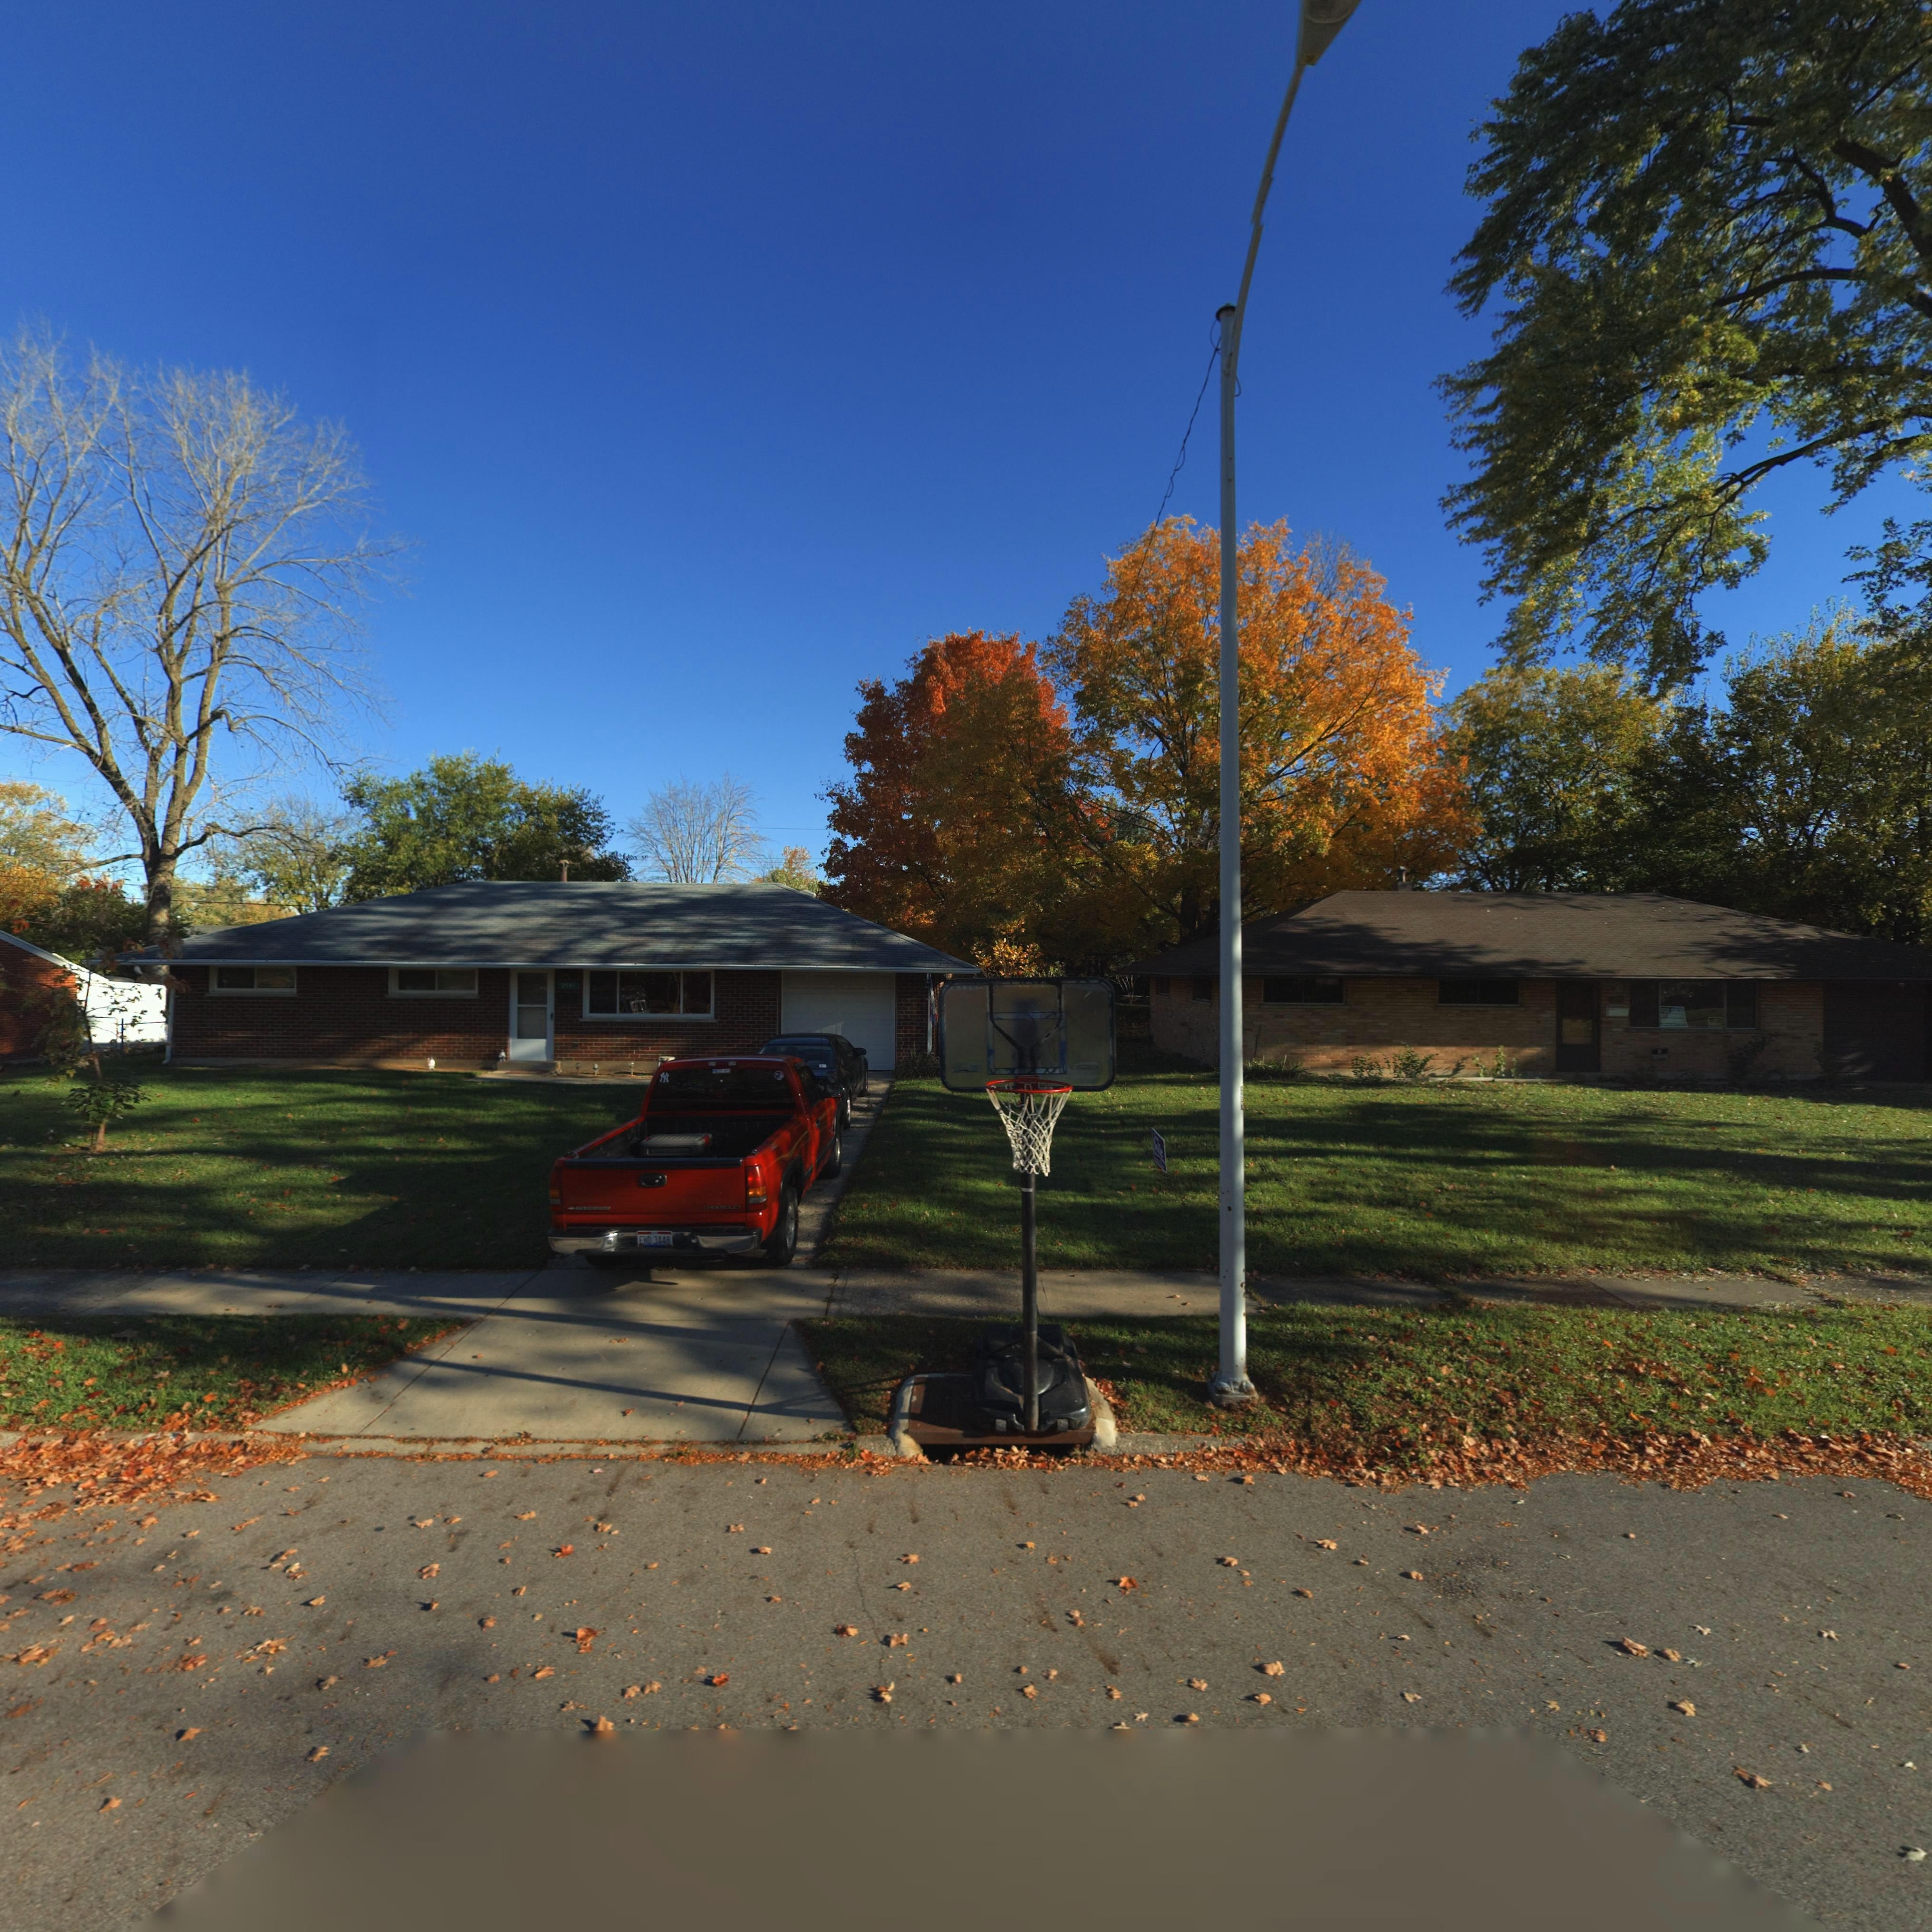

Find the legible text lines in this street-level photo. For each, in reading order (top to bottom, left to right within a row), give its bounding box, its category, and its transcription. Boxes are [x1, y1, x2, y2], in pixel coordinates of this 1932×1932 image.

[560, 982, 575, 989] StreetNumber: 2591